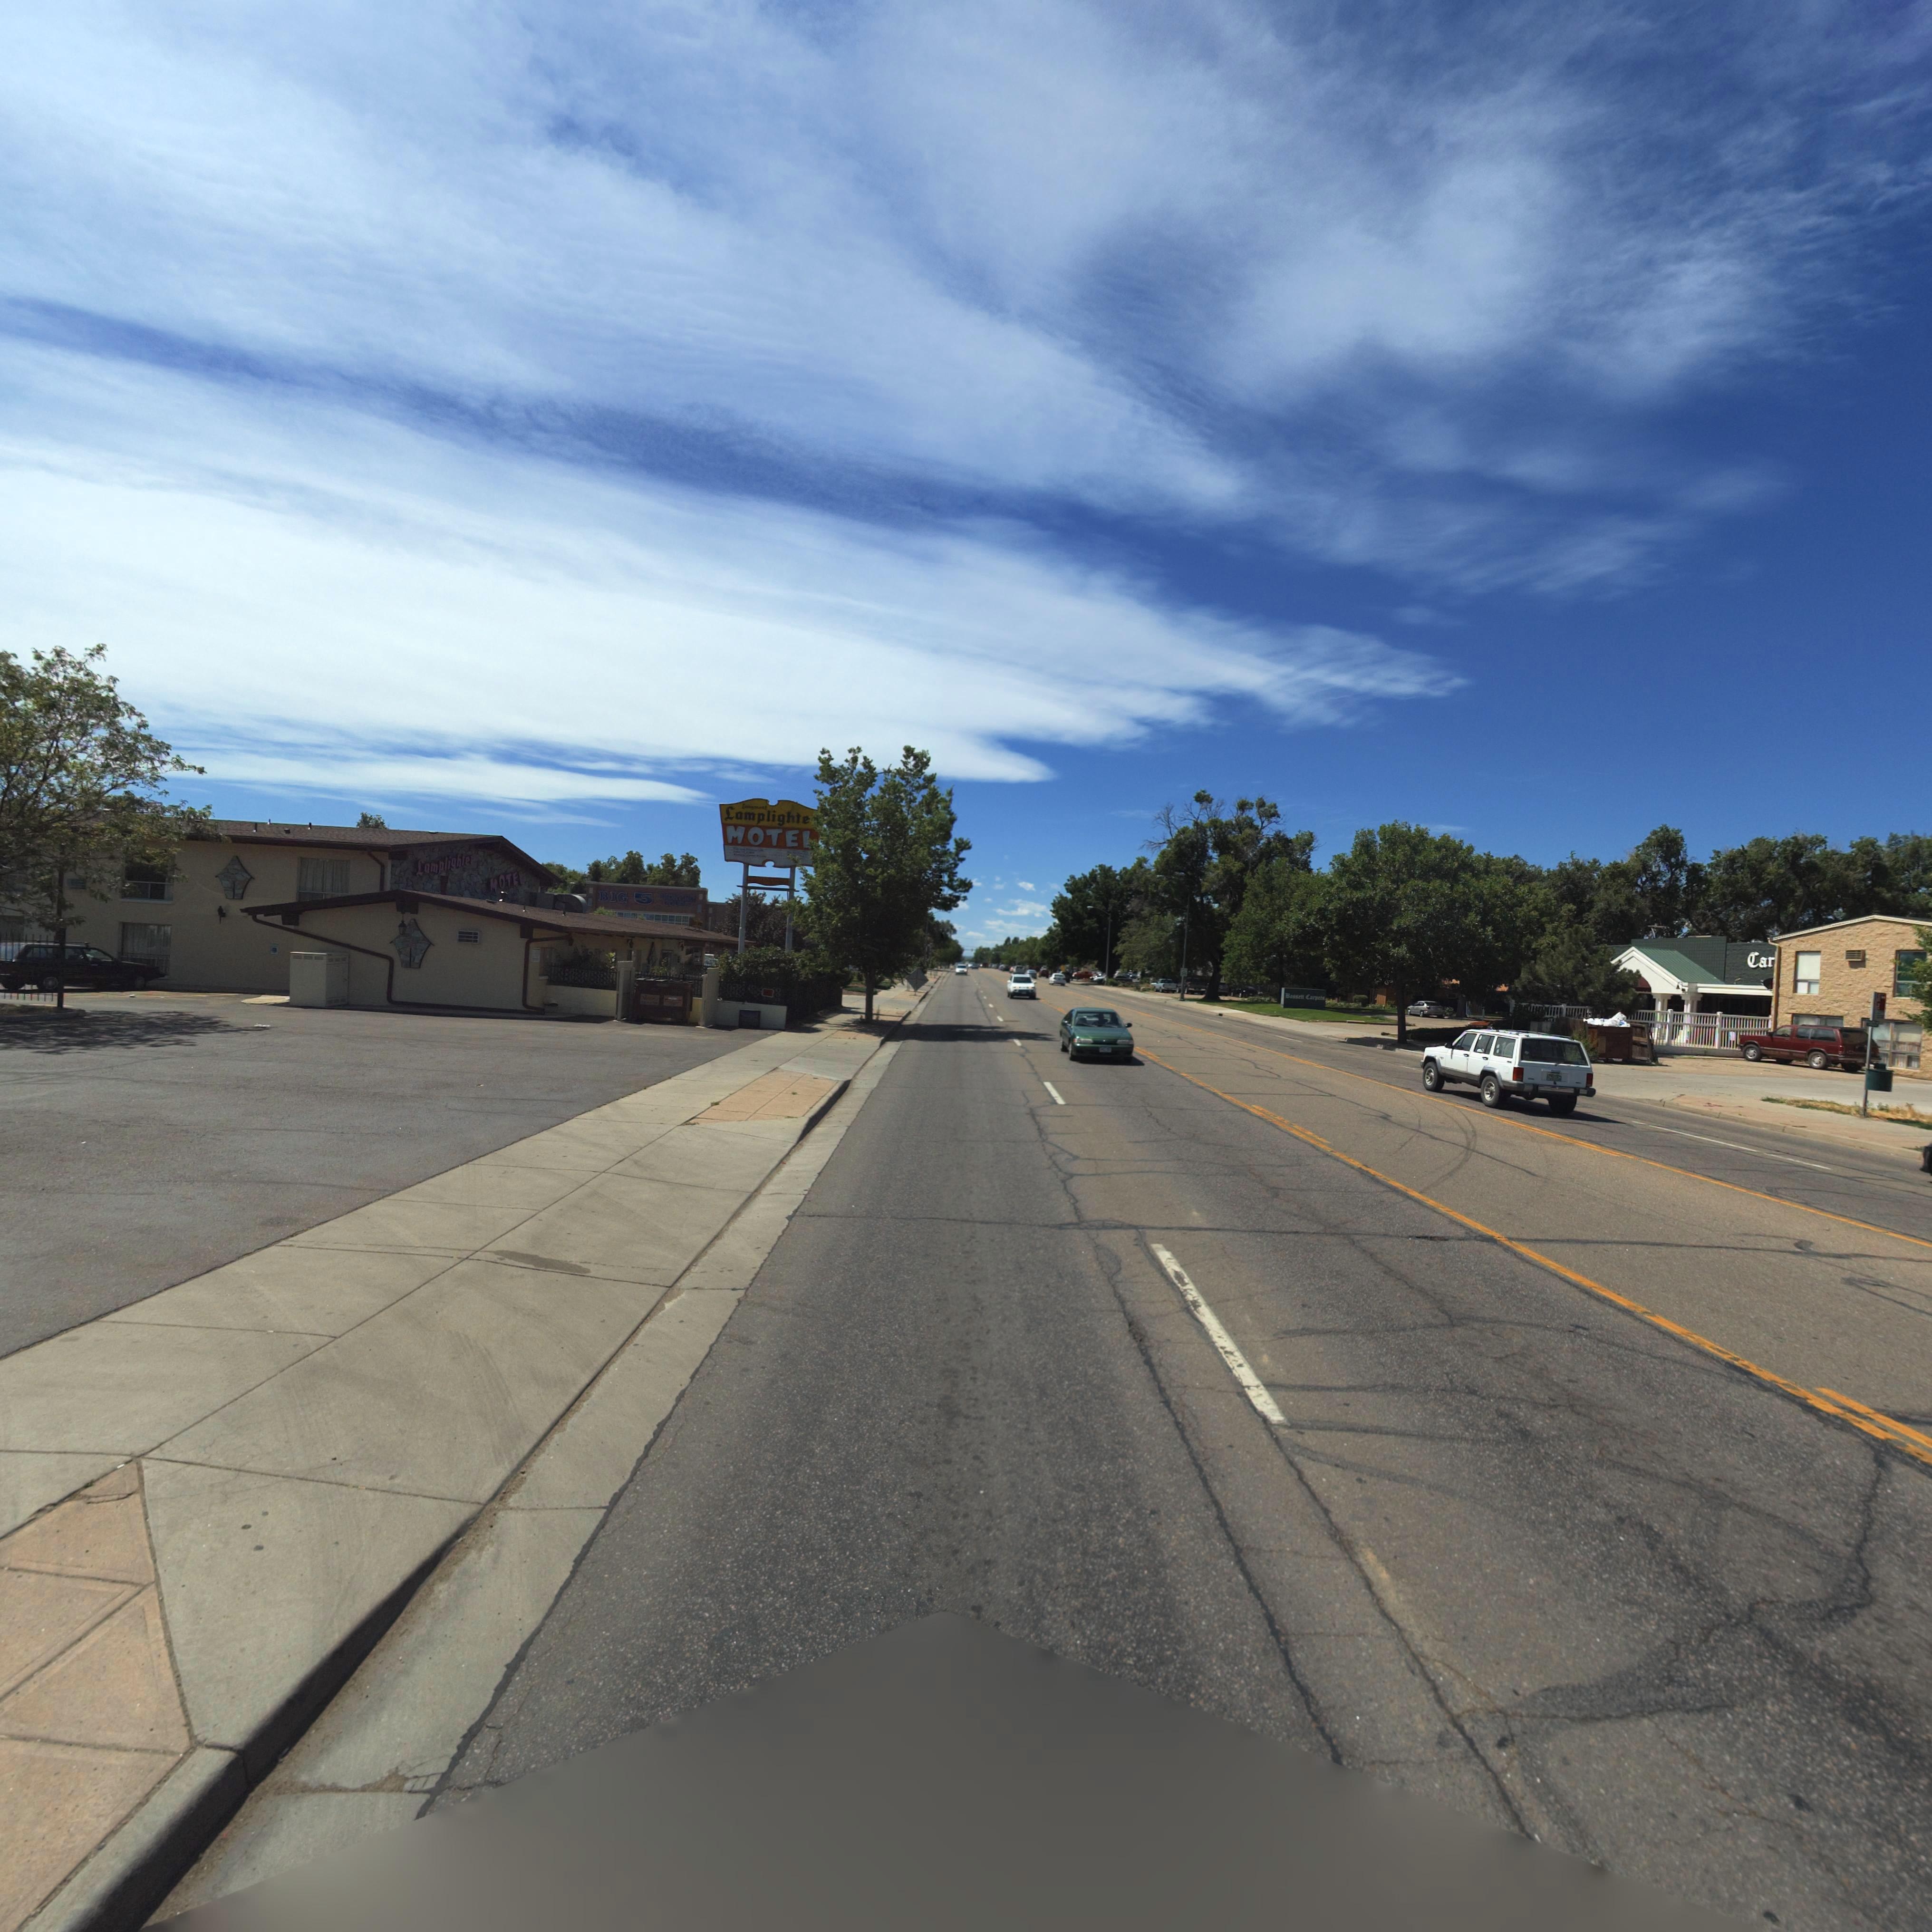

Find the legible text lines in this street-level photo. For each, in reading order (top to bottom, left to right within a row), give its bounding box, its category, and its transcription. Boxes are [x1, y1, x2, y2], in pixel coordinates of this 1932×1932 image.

[724, 805, 810, 826] BusinessName: Lamplighte
[725, 825, 813, 849] BusinessName: MOTE*
[415, 853, 473, 876] BusinessName: Lamplighte*
[490, 871, 524, 892] BusinessName: MOTE*
[598, 891, 653, 904] BusinessName: BIG 5
[663, 900, 689, 907] BusinessName: *O***
[658, 893, 696, 902] BusinessName: S*O*****
[1746, 951, 1775, 968] BusinessName: Ca*
[1285, 993, 1325, 1001] BusinessName: **ss*** Carp**s